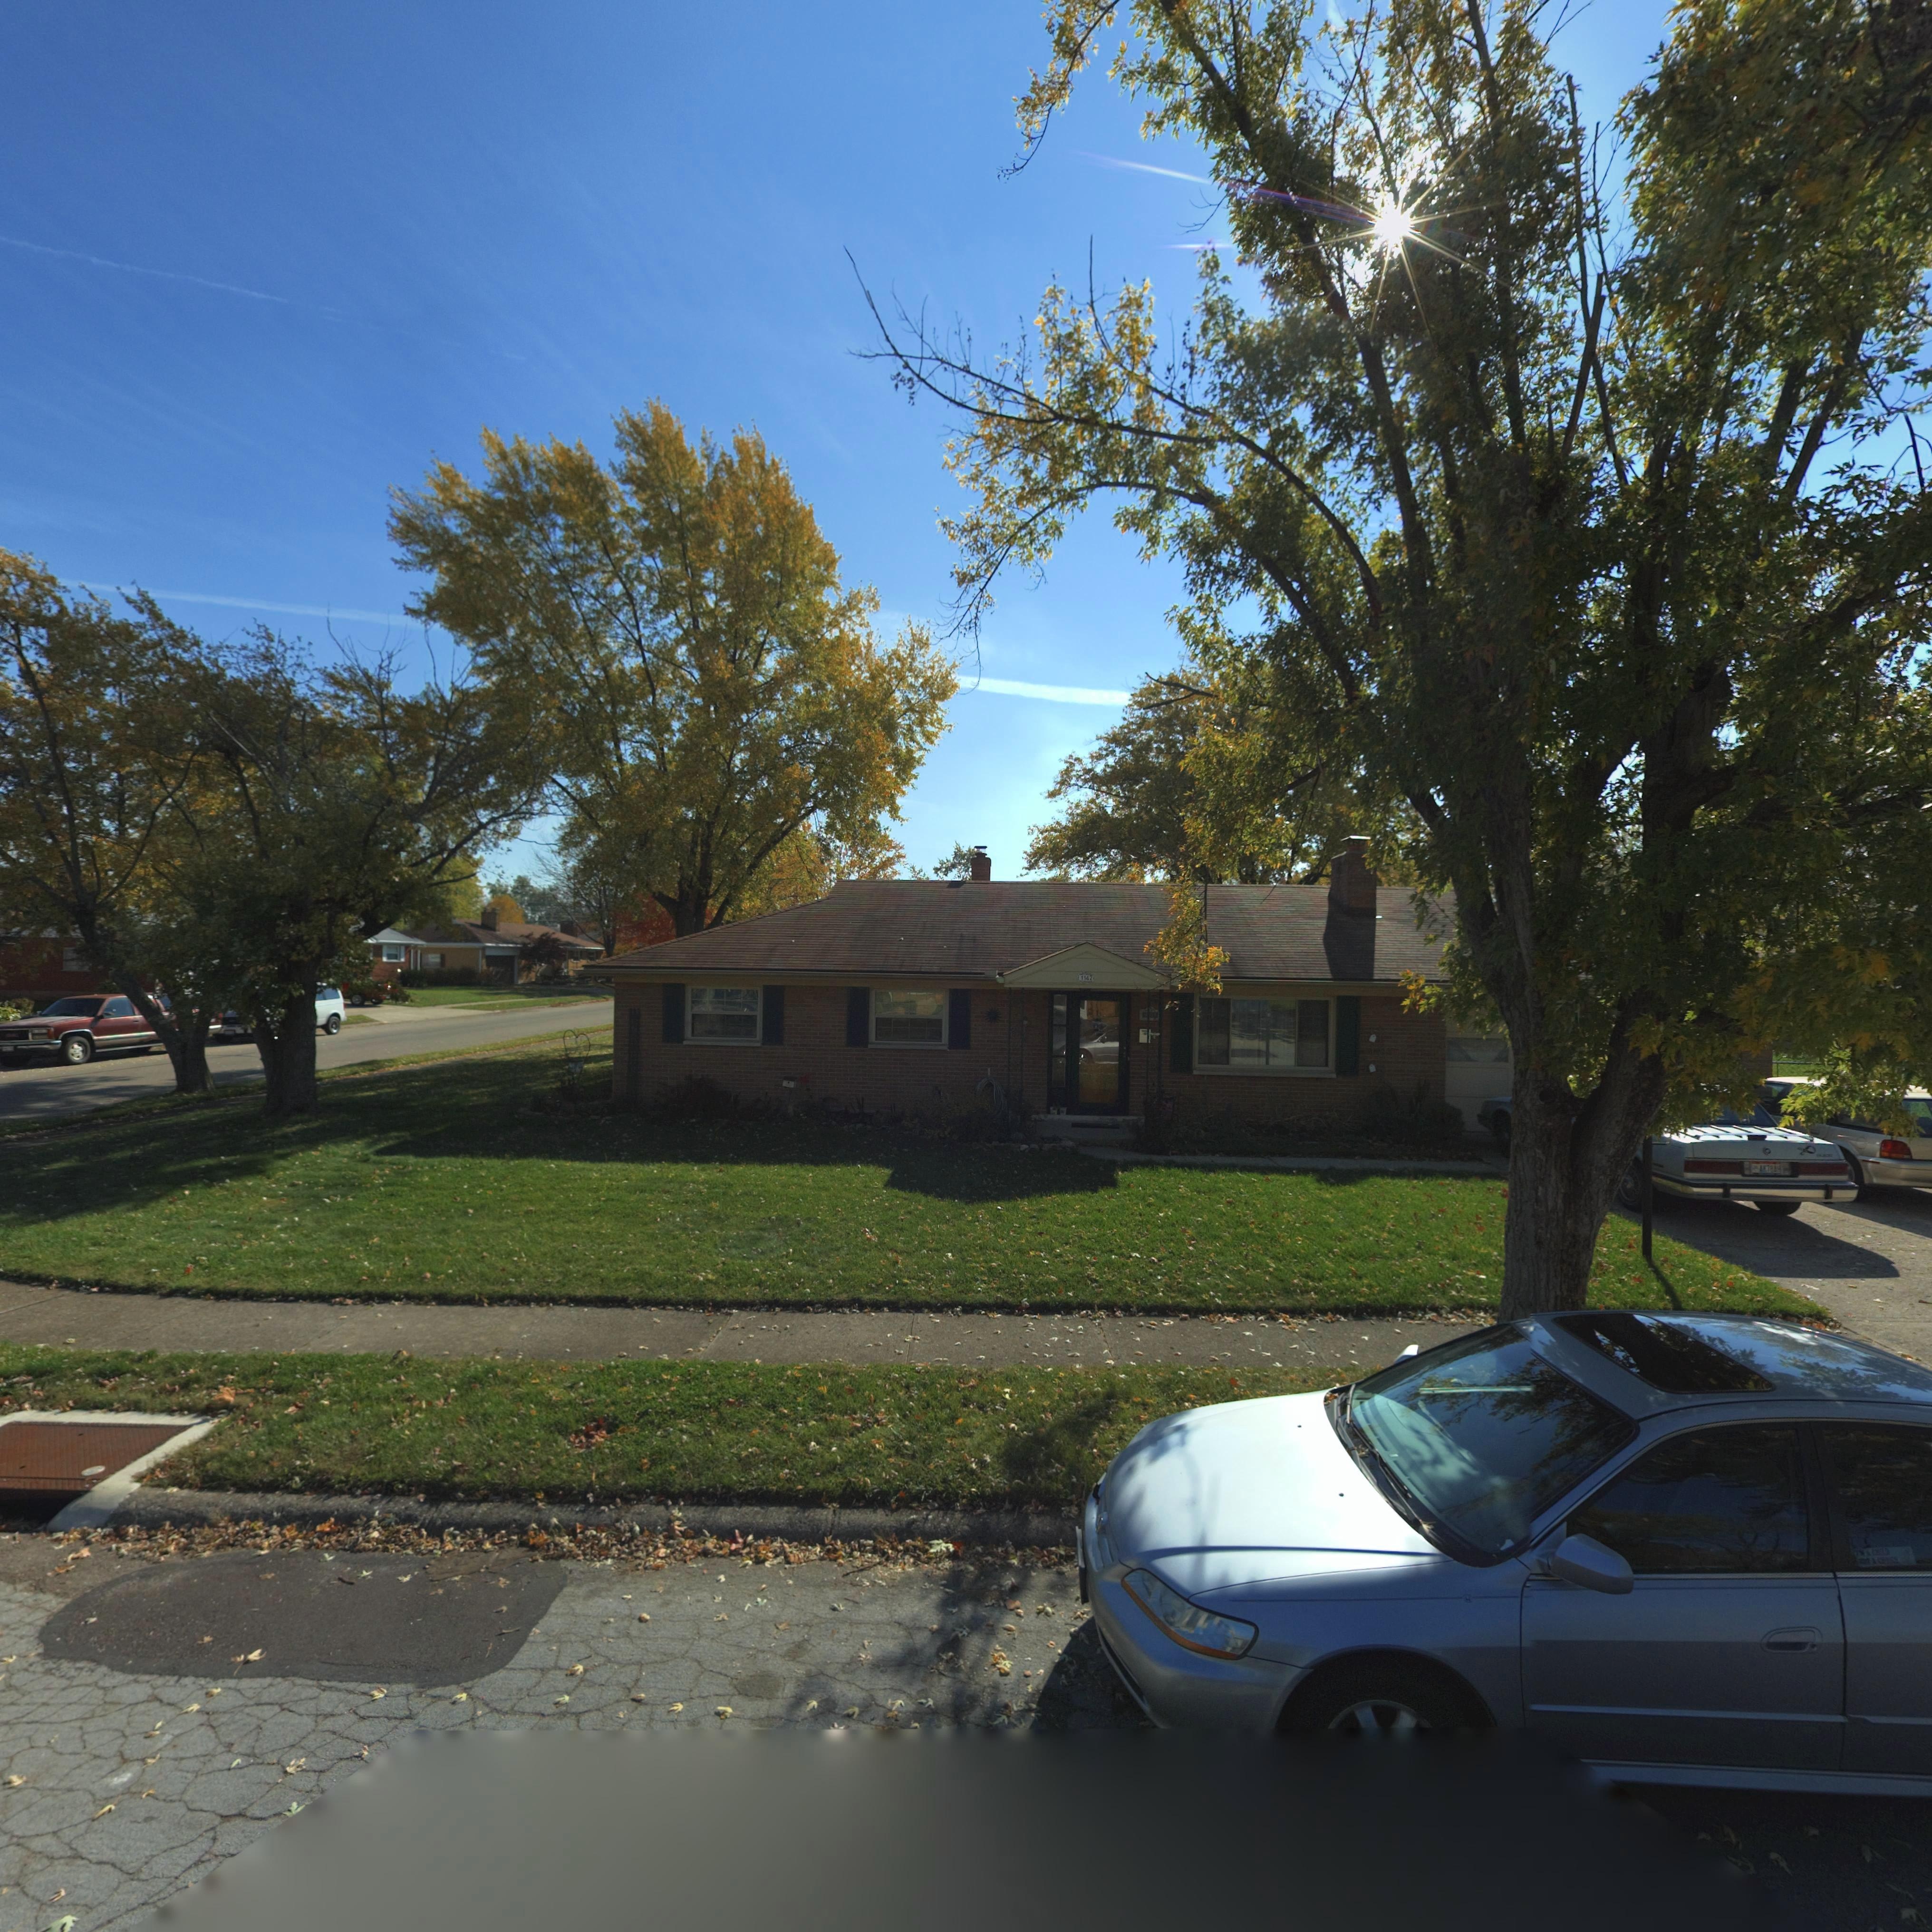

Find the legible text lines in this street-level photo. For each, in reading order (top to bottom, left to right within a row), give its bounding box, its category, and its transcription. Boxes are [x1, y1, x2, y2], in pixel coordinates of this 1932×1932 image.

[1081, 975, 1092, 981] StreetNumber: 1142
[1816, 1154, 1833, 1158] None: BUICK
[1759, 1164, 1780, 1173] None: AM78AH